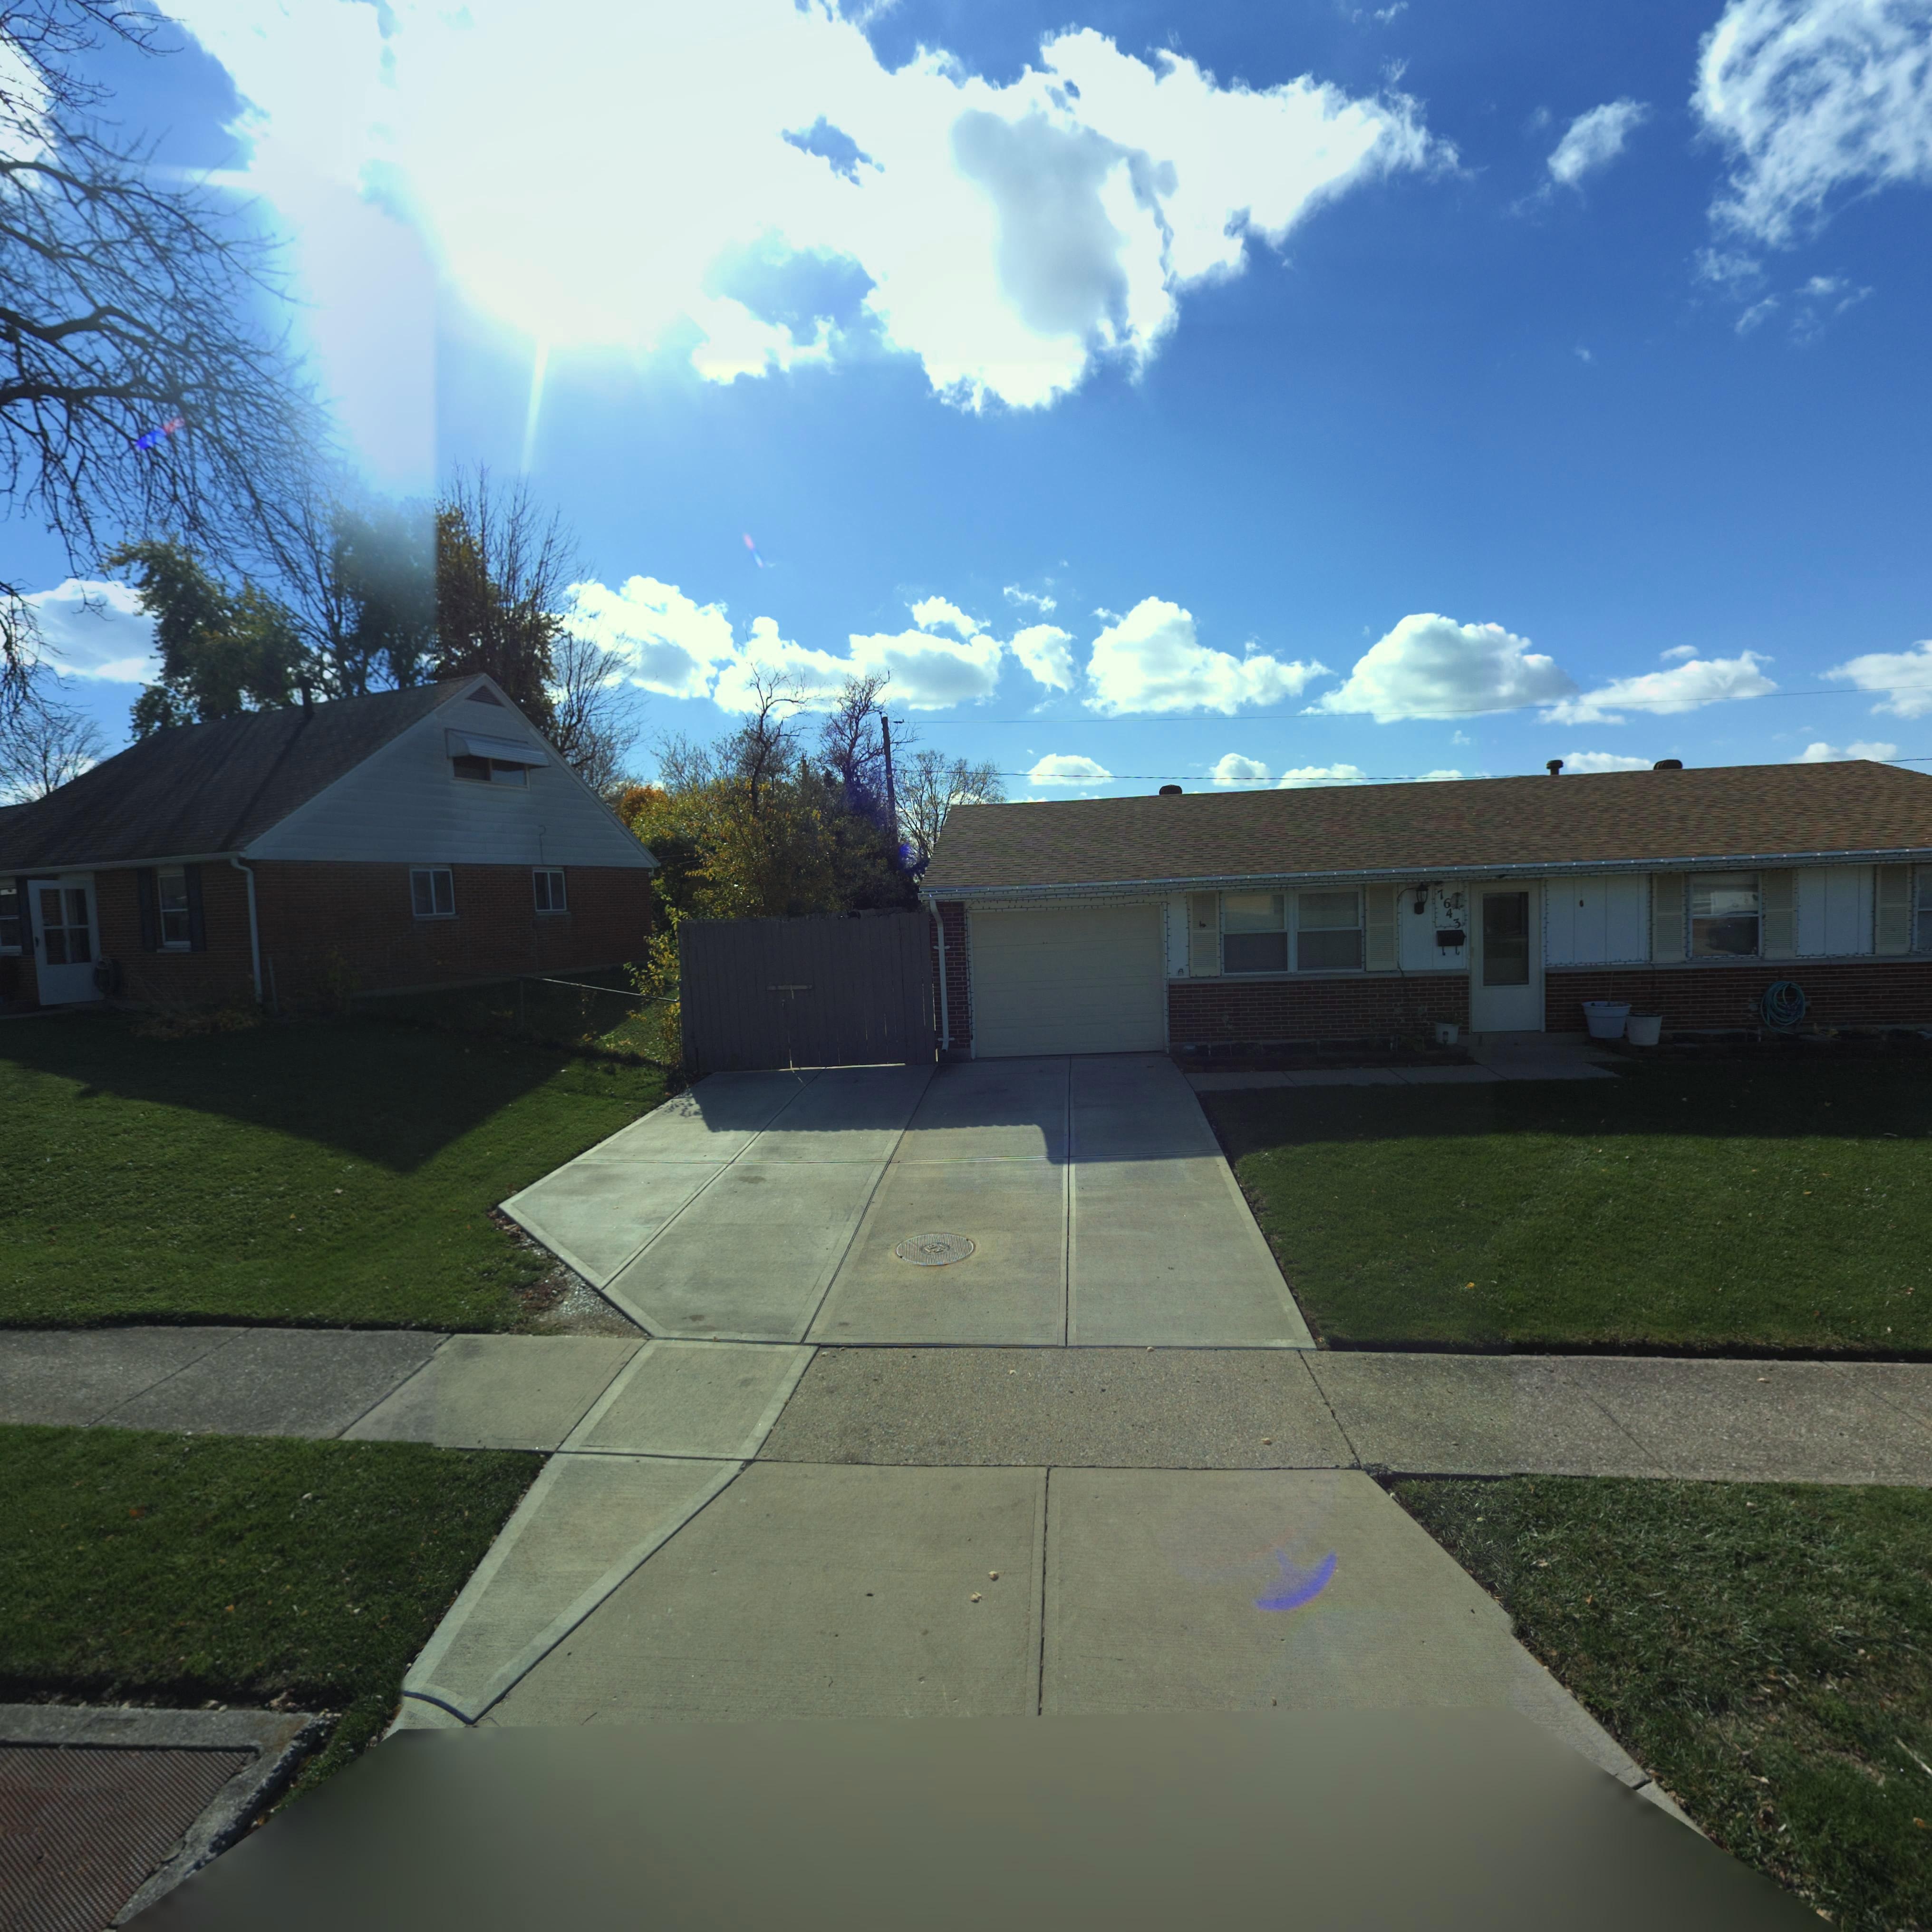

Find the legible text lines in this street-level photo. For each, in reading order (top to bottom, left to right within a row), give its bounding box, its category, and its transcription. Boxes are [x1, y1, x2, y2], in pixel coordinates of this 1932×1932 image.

[1436, 888, 1462, 930] StreetNumber: 7643